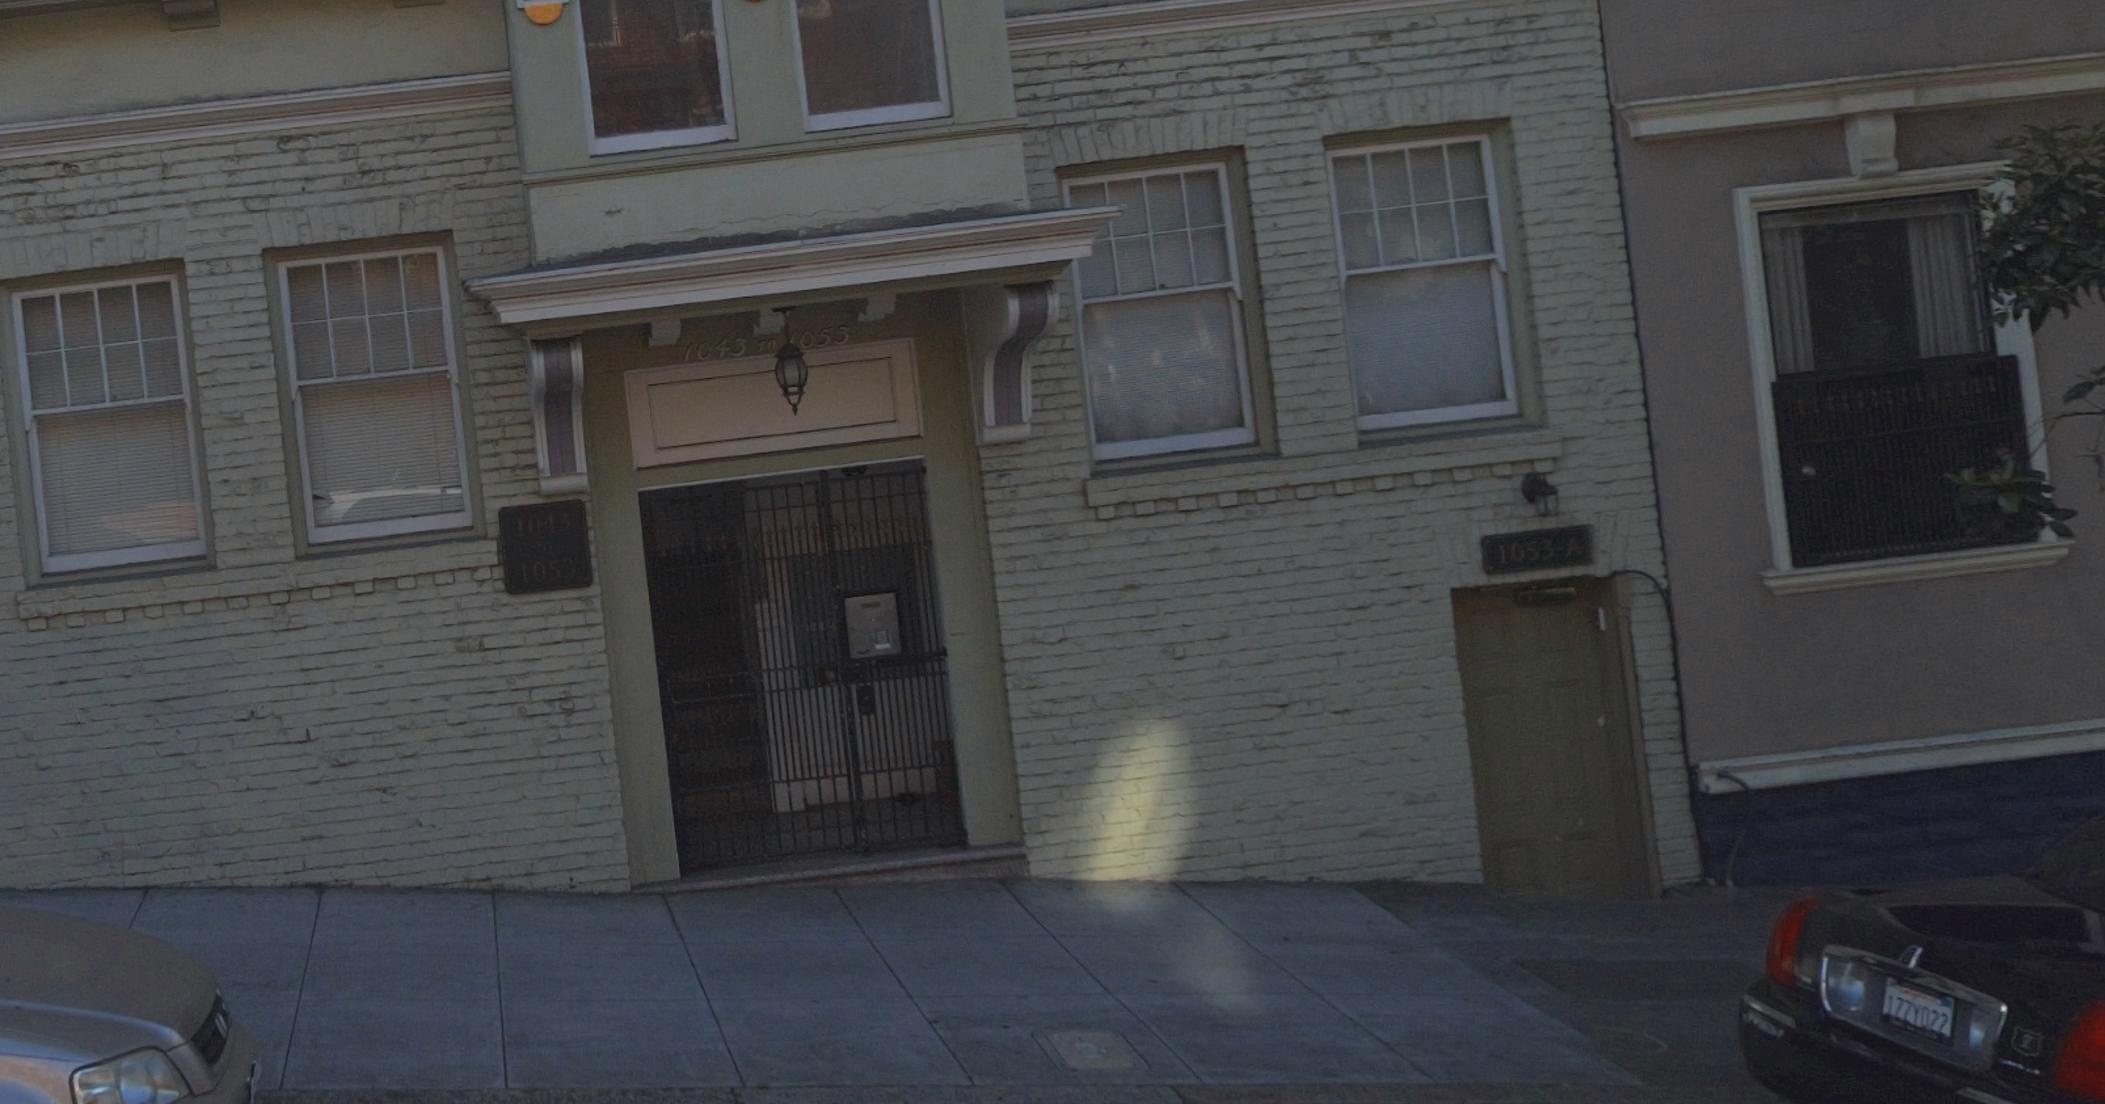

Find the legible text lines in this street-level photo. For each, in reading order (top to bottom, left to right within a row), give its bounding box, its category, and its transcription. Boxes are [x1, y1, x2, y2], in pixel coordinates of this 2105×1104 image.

[511, 506, 575, 540] StreetNumber: 1043
[1497, 529, 1587, 568] StreetNumber: 1053-A
[516, 551, 581, 587] StreetNumber: 1053